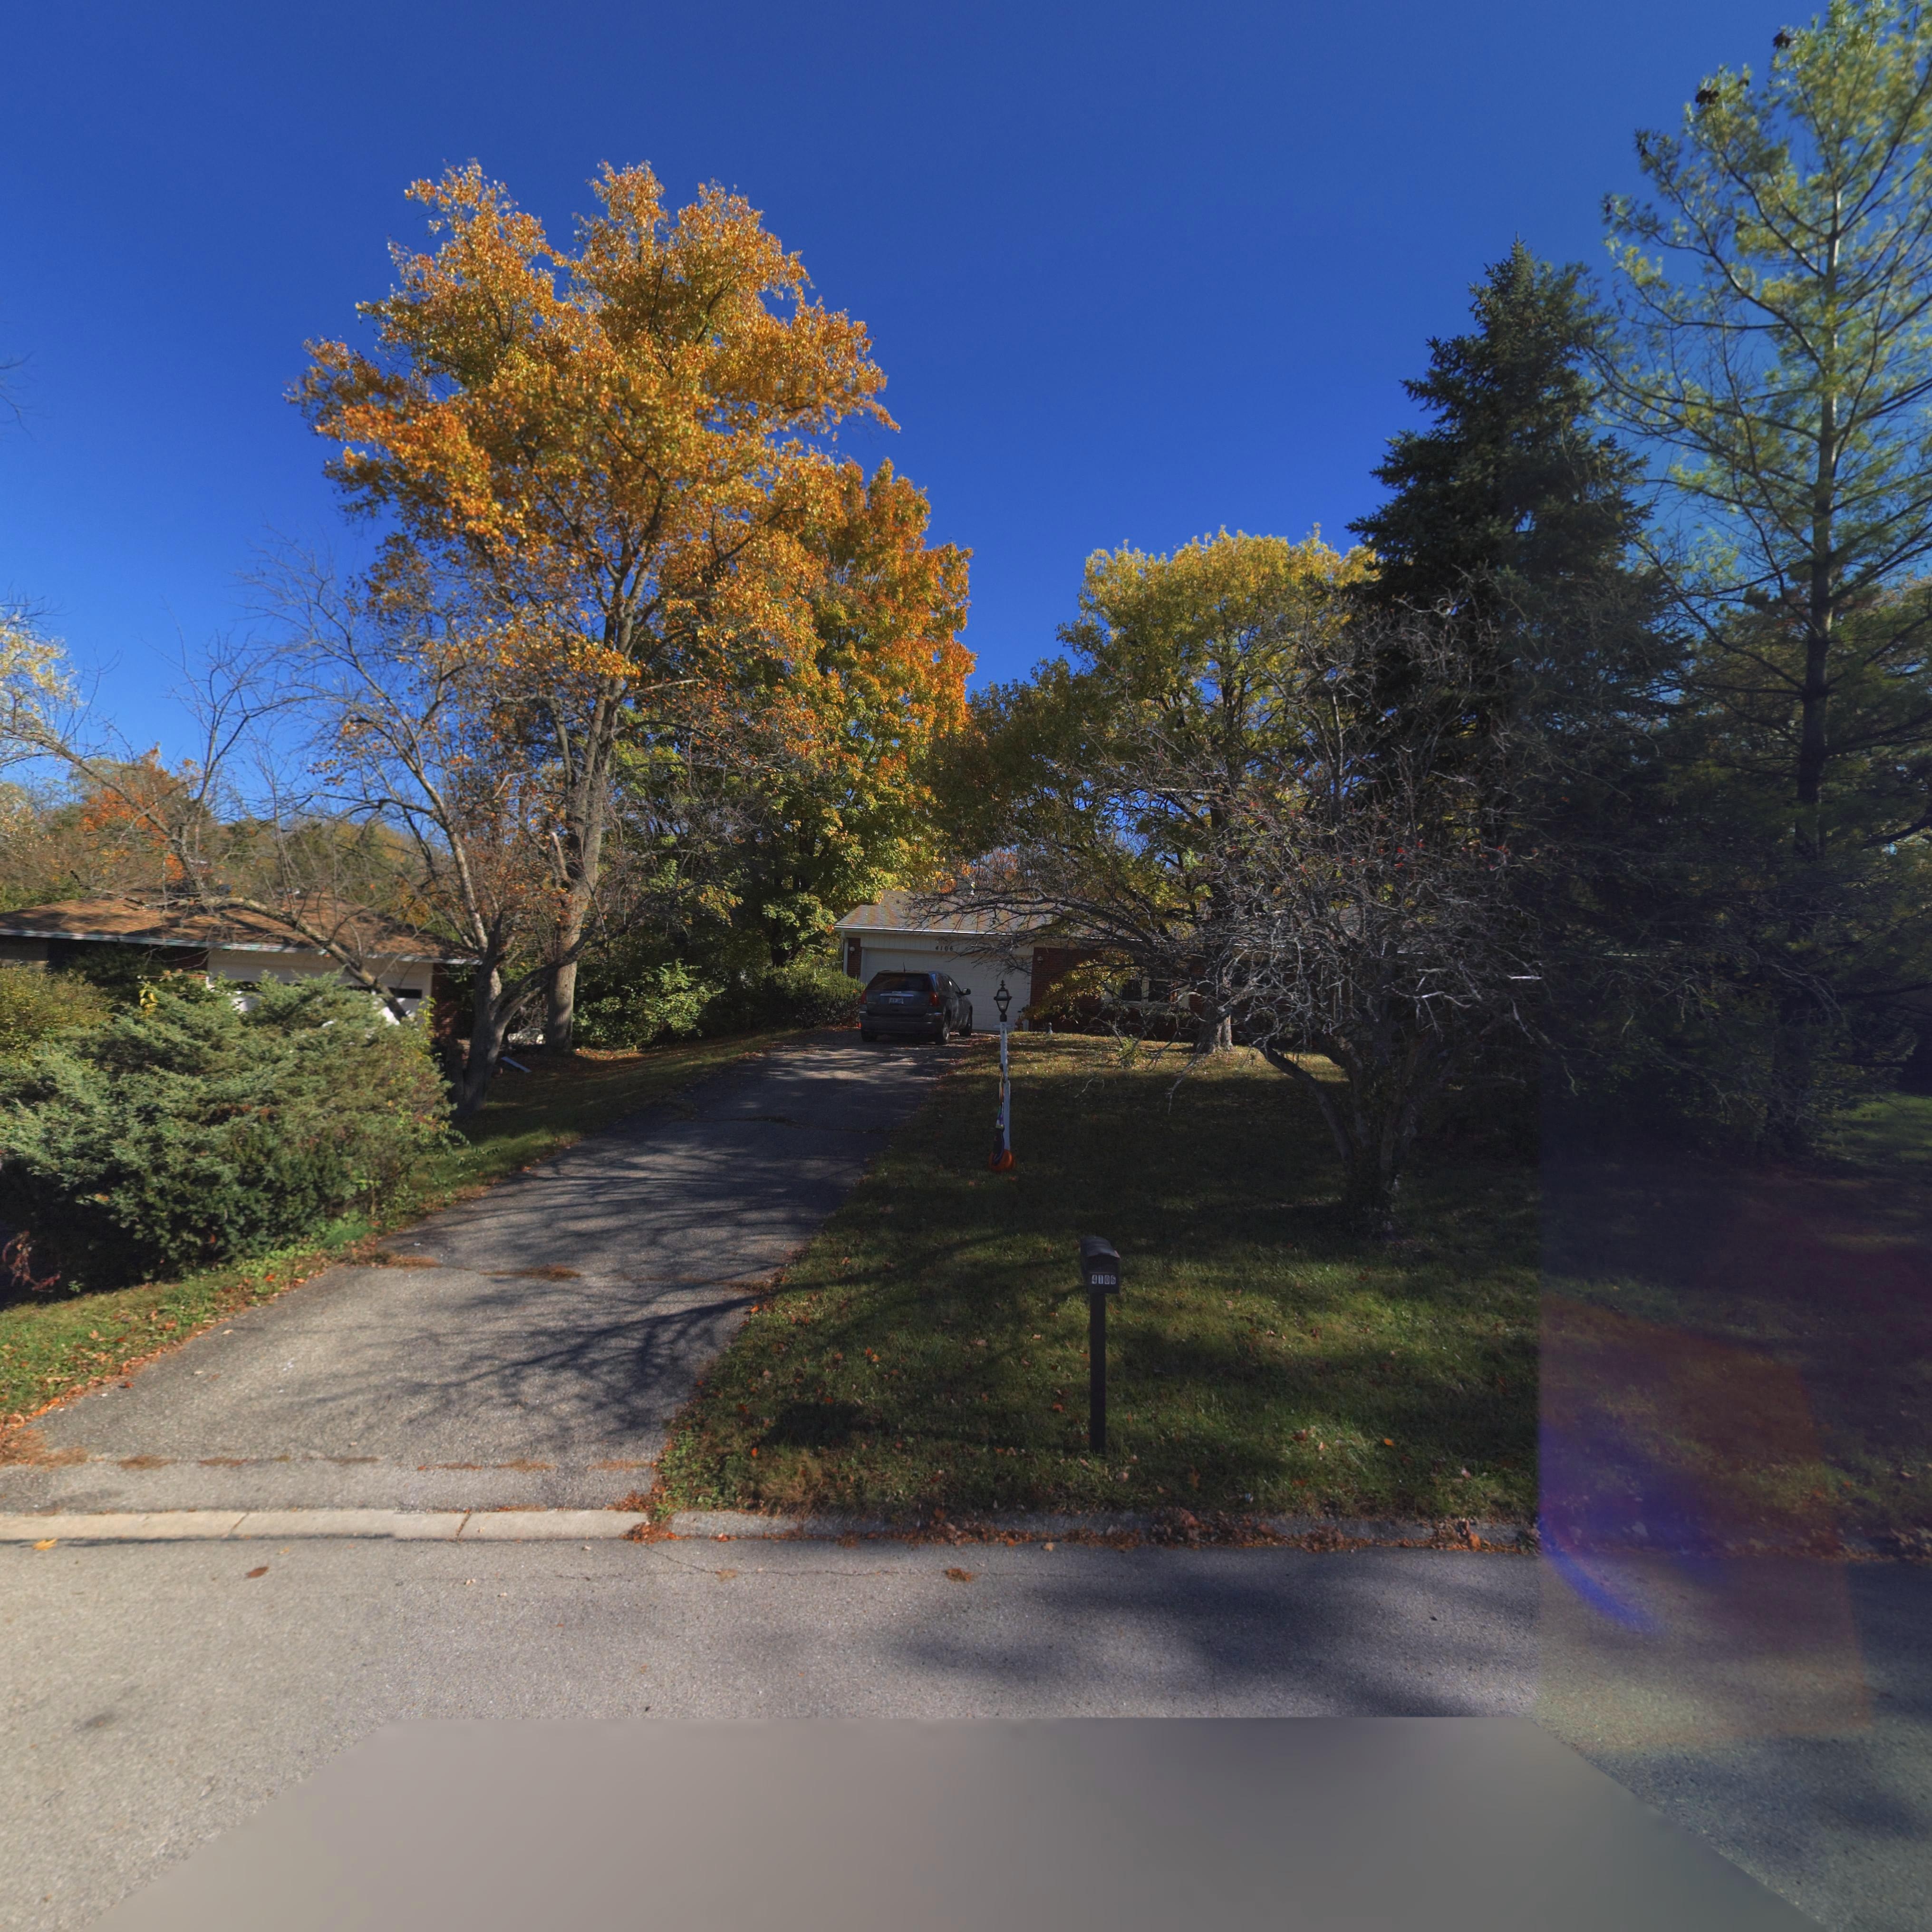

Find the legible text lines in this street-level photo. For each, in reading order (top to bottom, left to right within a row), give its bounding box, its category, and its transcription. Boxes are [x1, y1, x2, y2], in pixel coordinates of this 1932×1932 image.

[934, 945, 955, 952] StreetNumber: 4106
[1091, 1274, 1117, 1285] StreetNumber: 4106